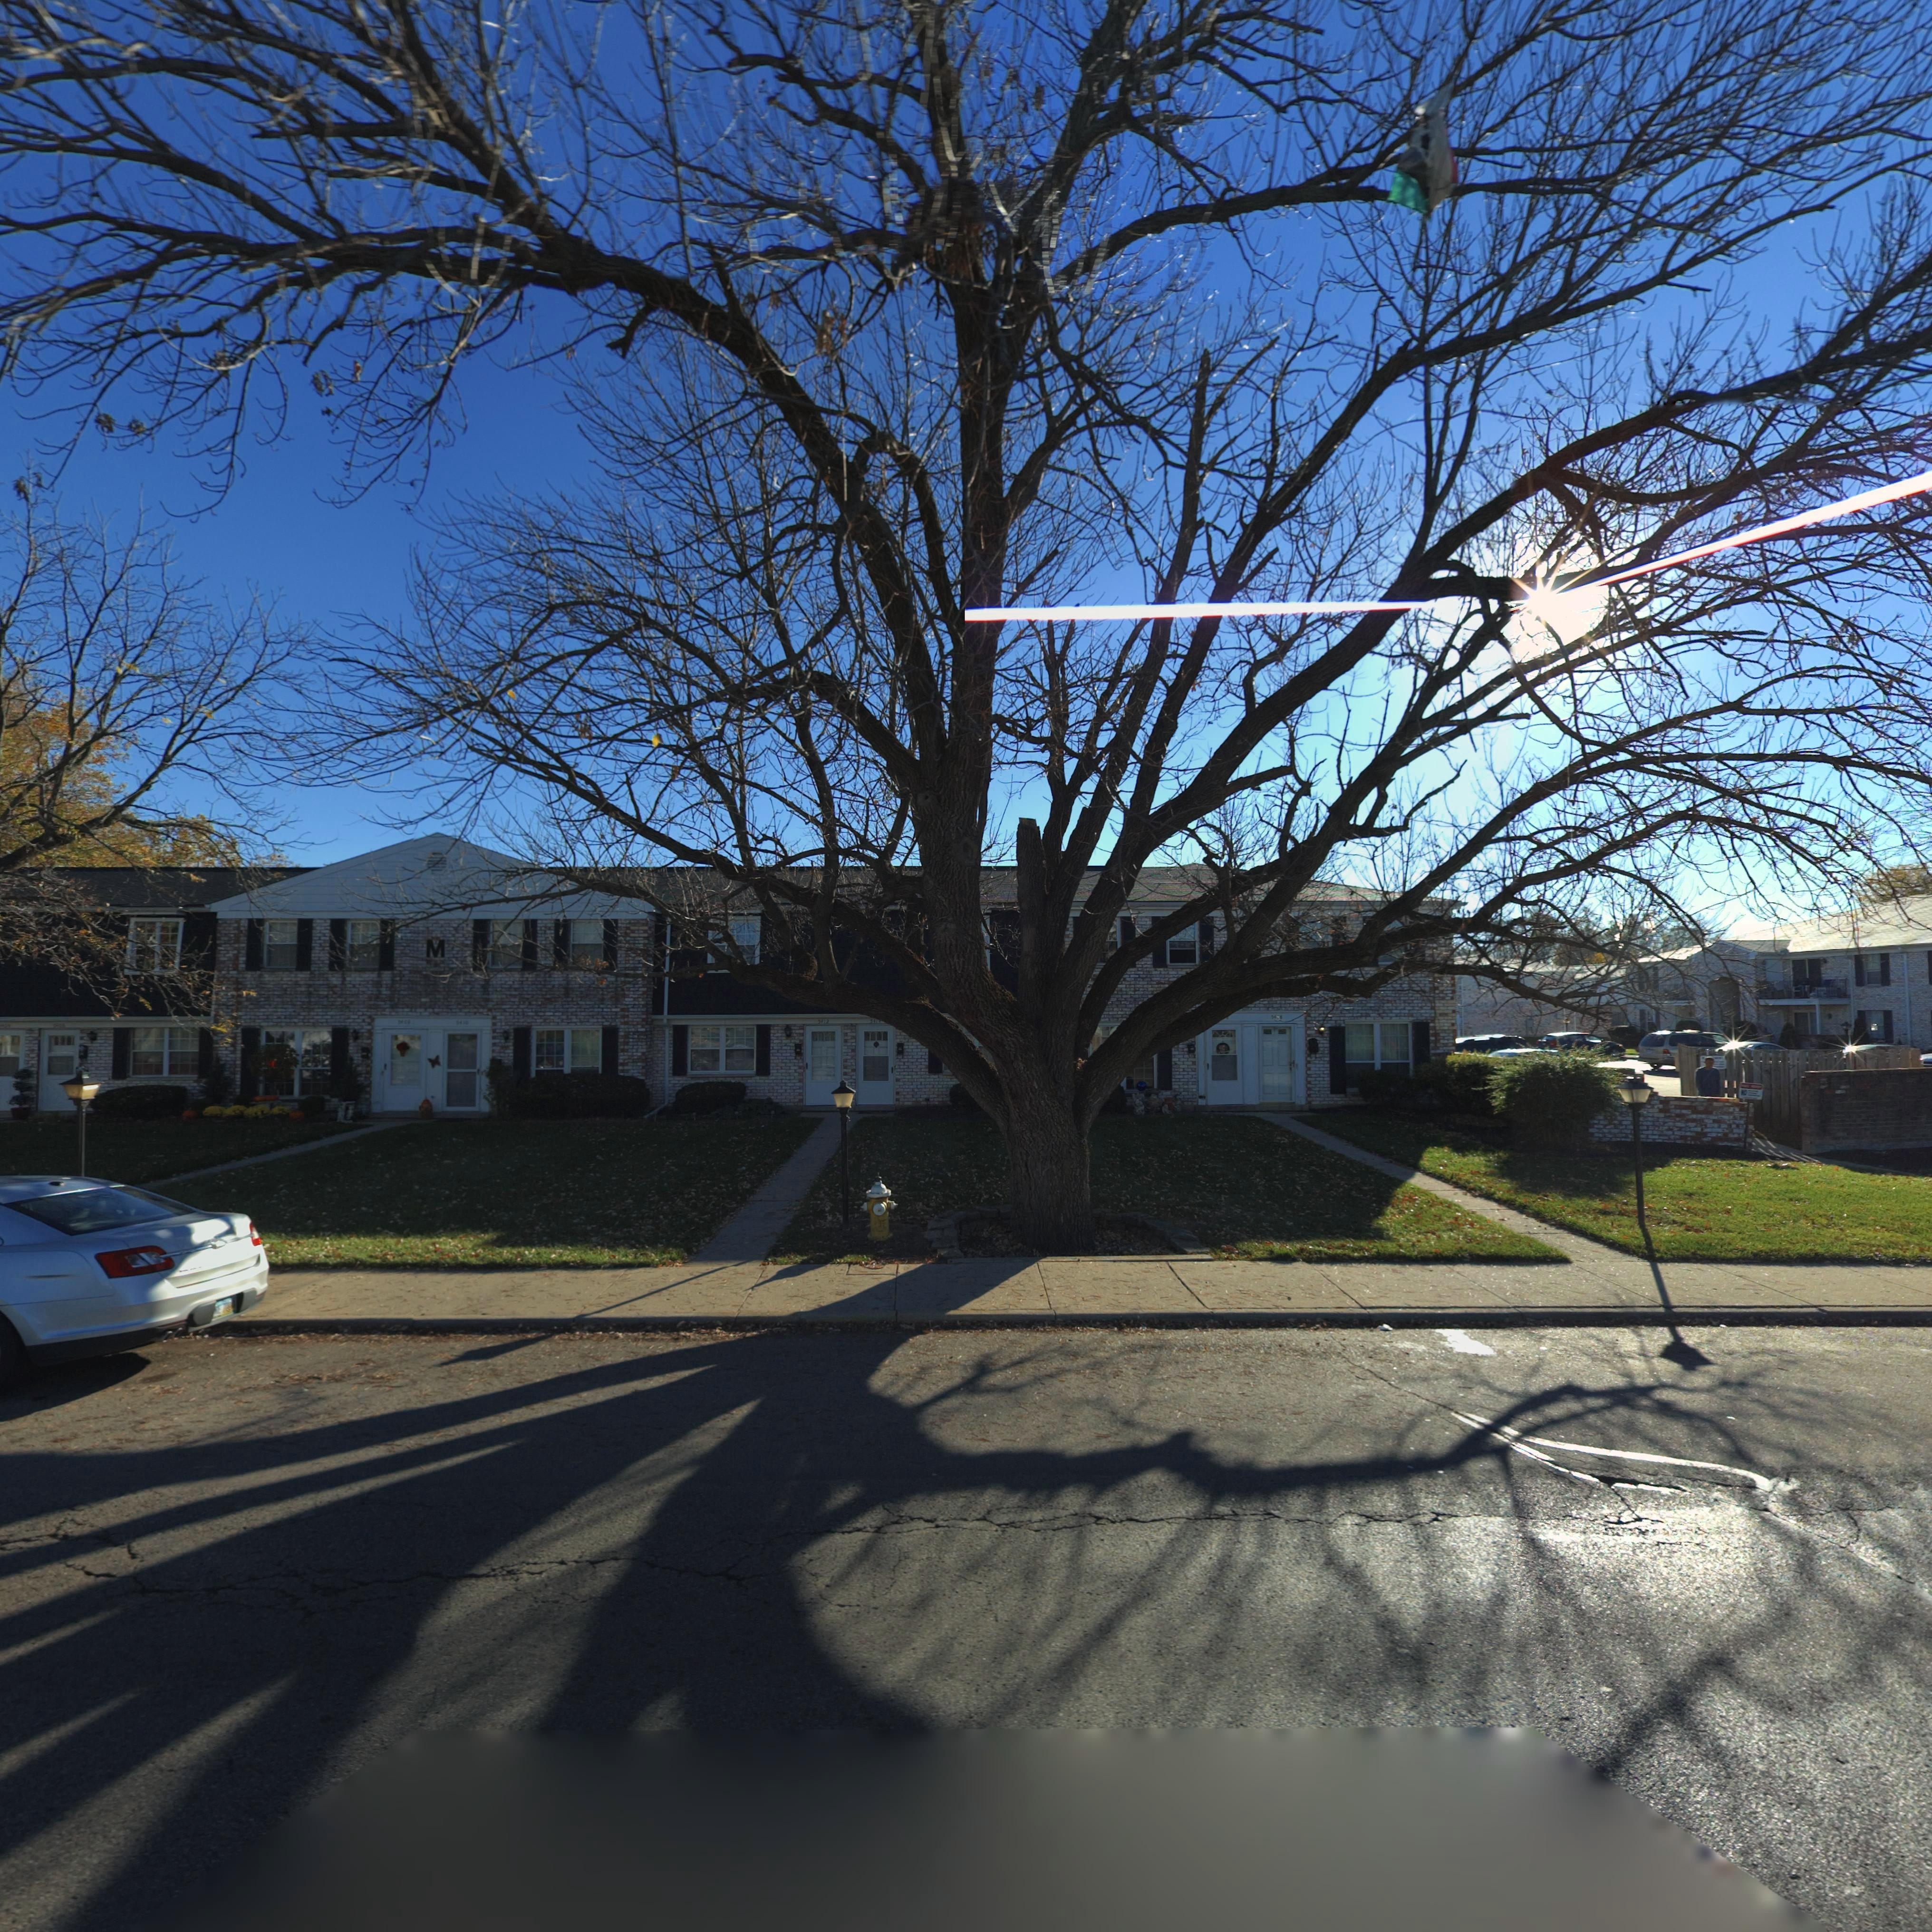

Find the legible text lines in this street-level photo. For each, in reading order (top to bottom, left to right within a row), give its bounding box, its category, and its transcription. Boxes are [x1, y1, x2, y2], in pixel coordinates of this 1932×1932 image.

[1270, 1014, 1283, 1020] StreetNumber: 5**8
[817, 1019, 830, 1024] StreetNumber: 5412